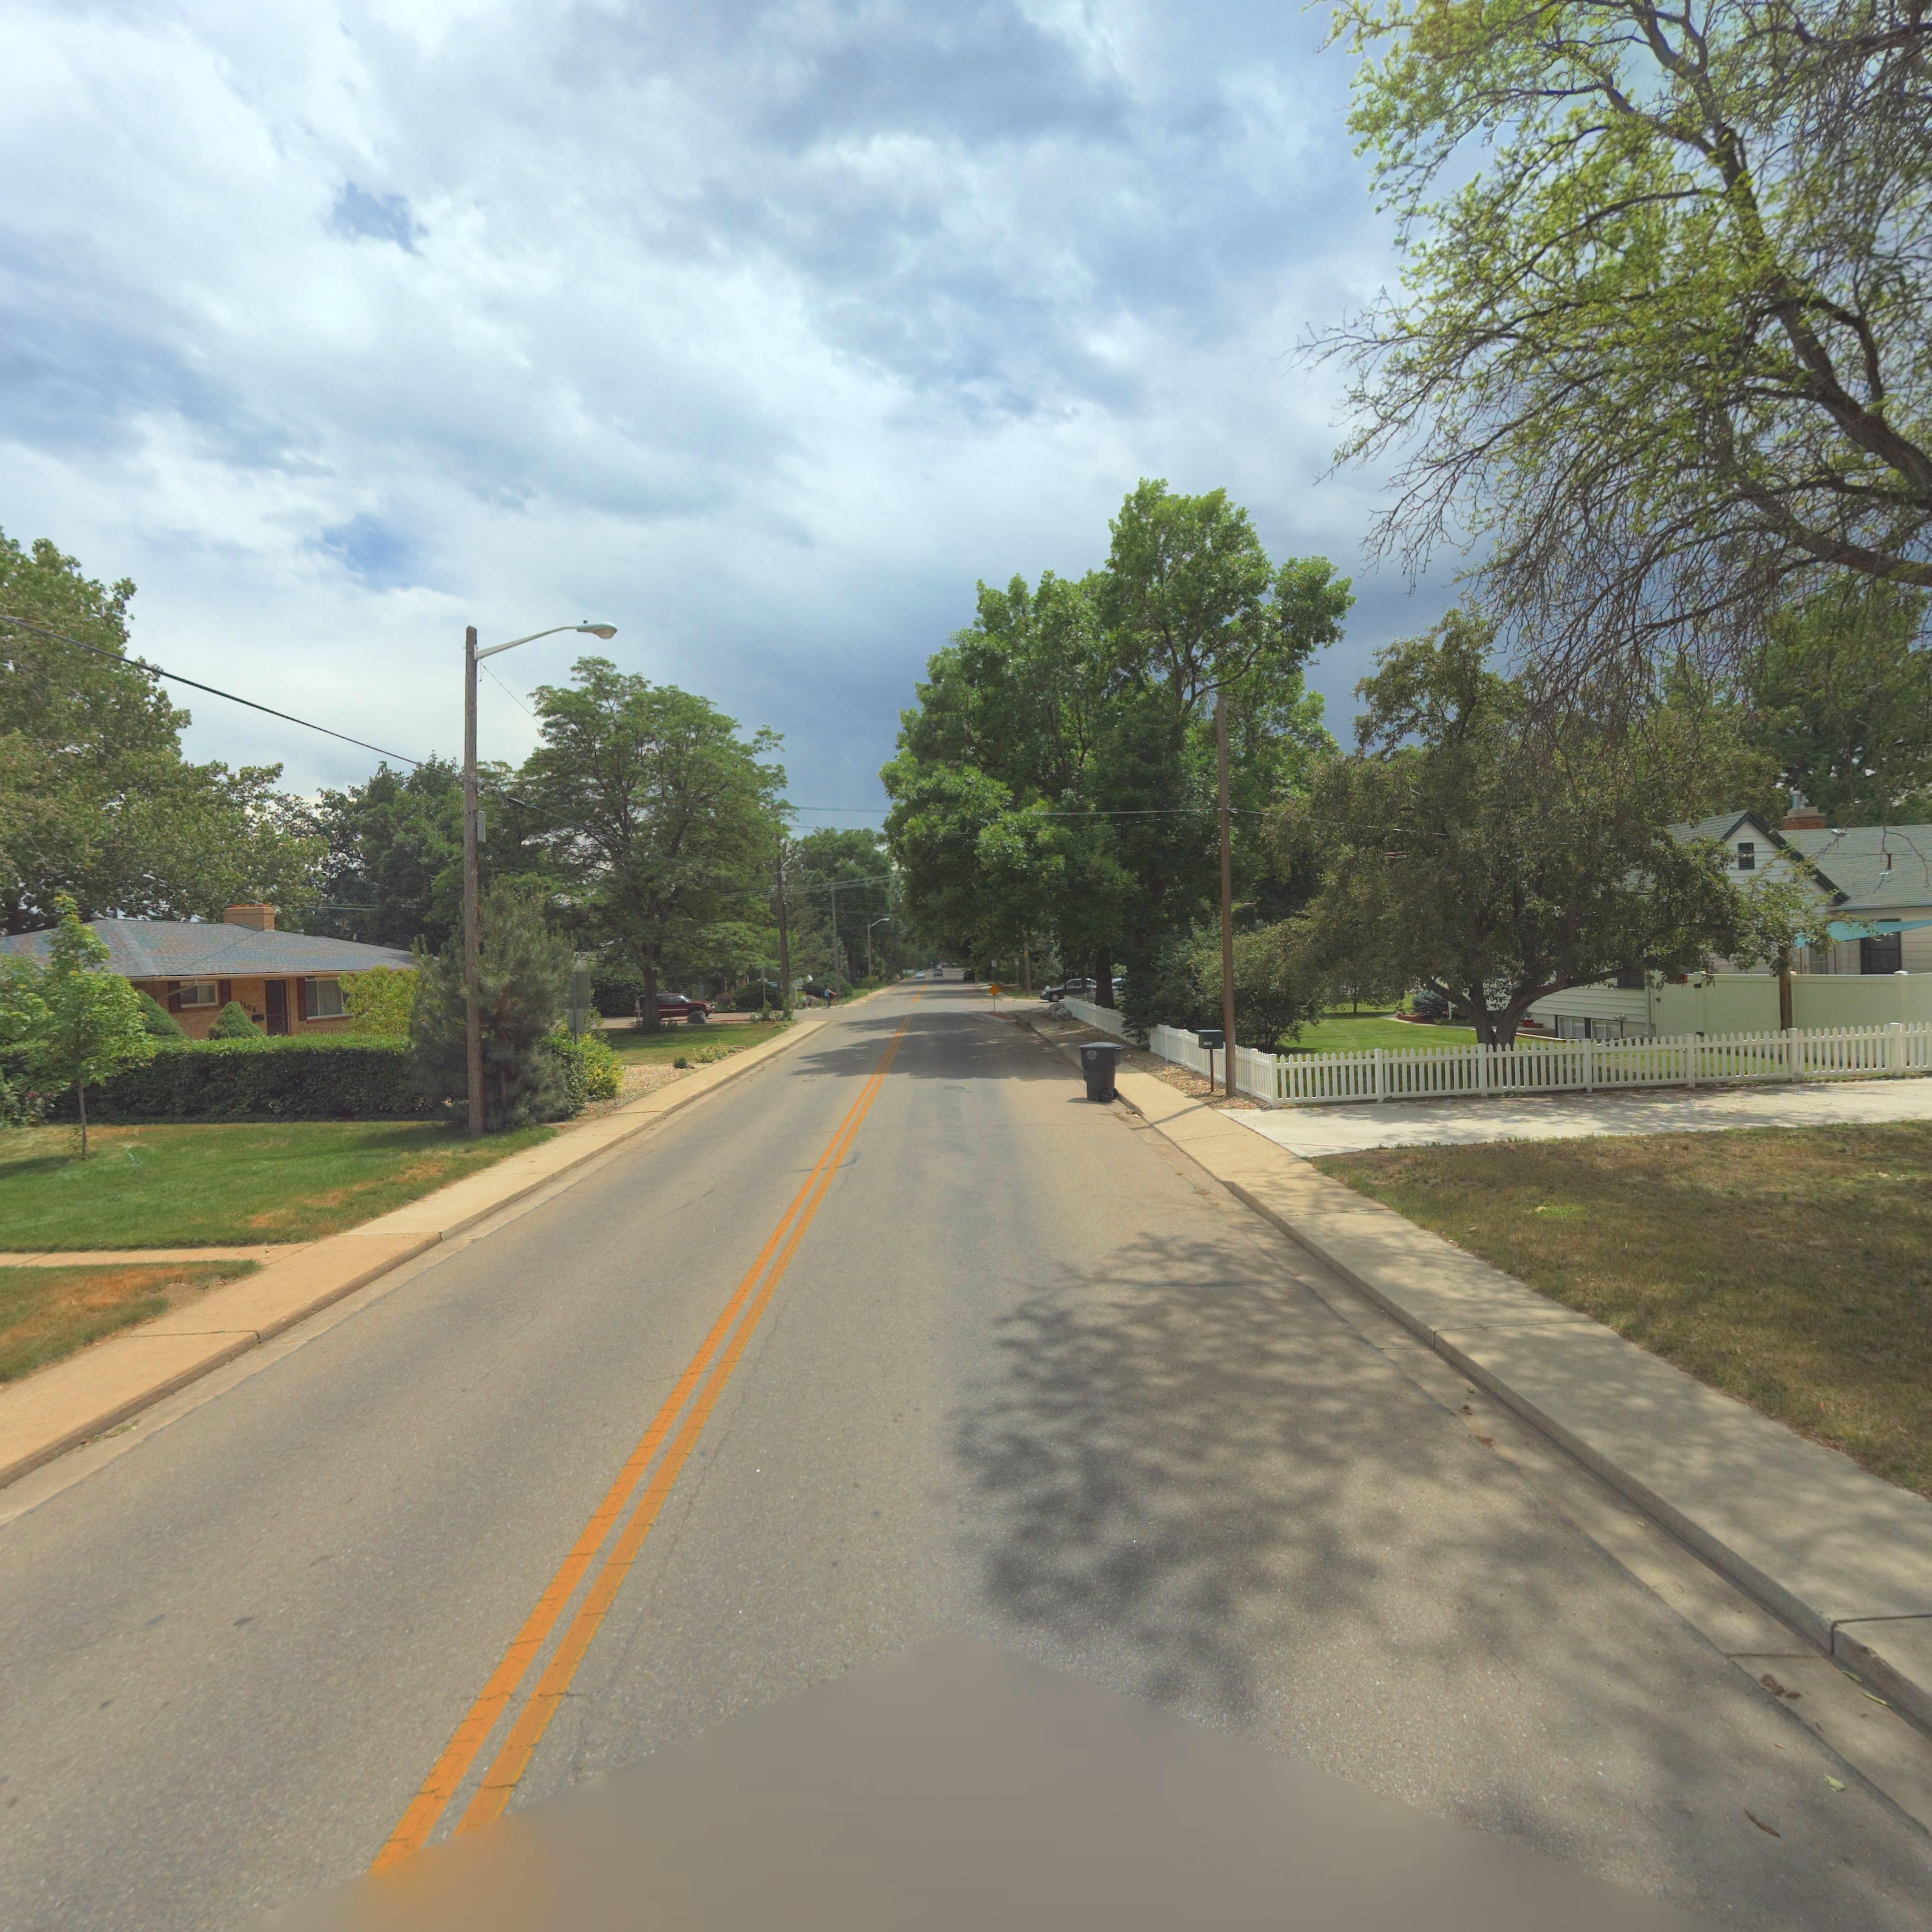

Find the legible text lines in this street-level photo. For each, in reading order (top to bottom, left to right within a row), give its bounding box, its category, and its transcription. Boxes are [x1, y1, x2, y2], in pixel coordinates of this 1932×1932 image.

[239, 999, 256, 1013] StreetNumber: 1104